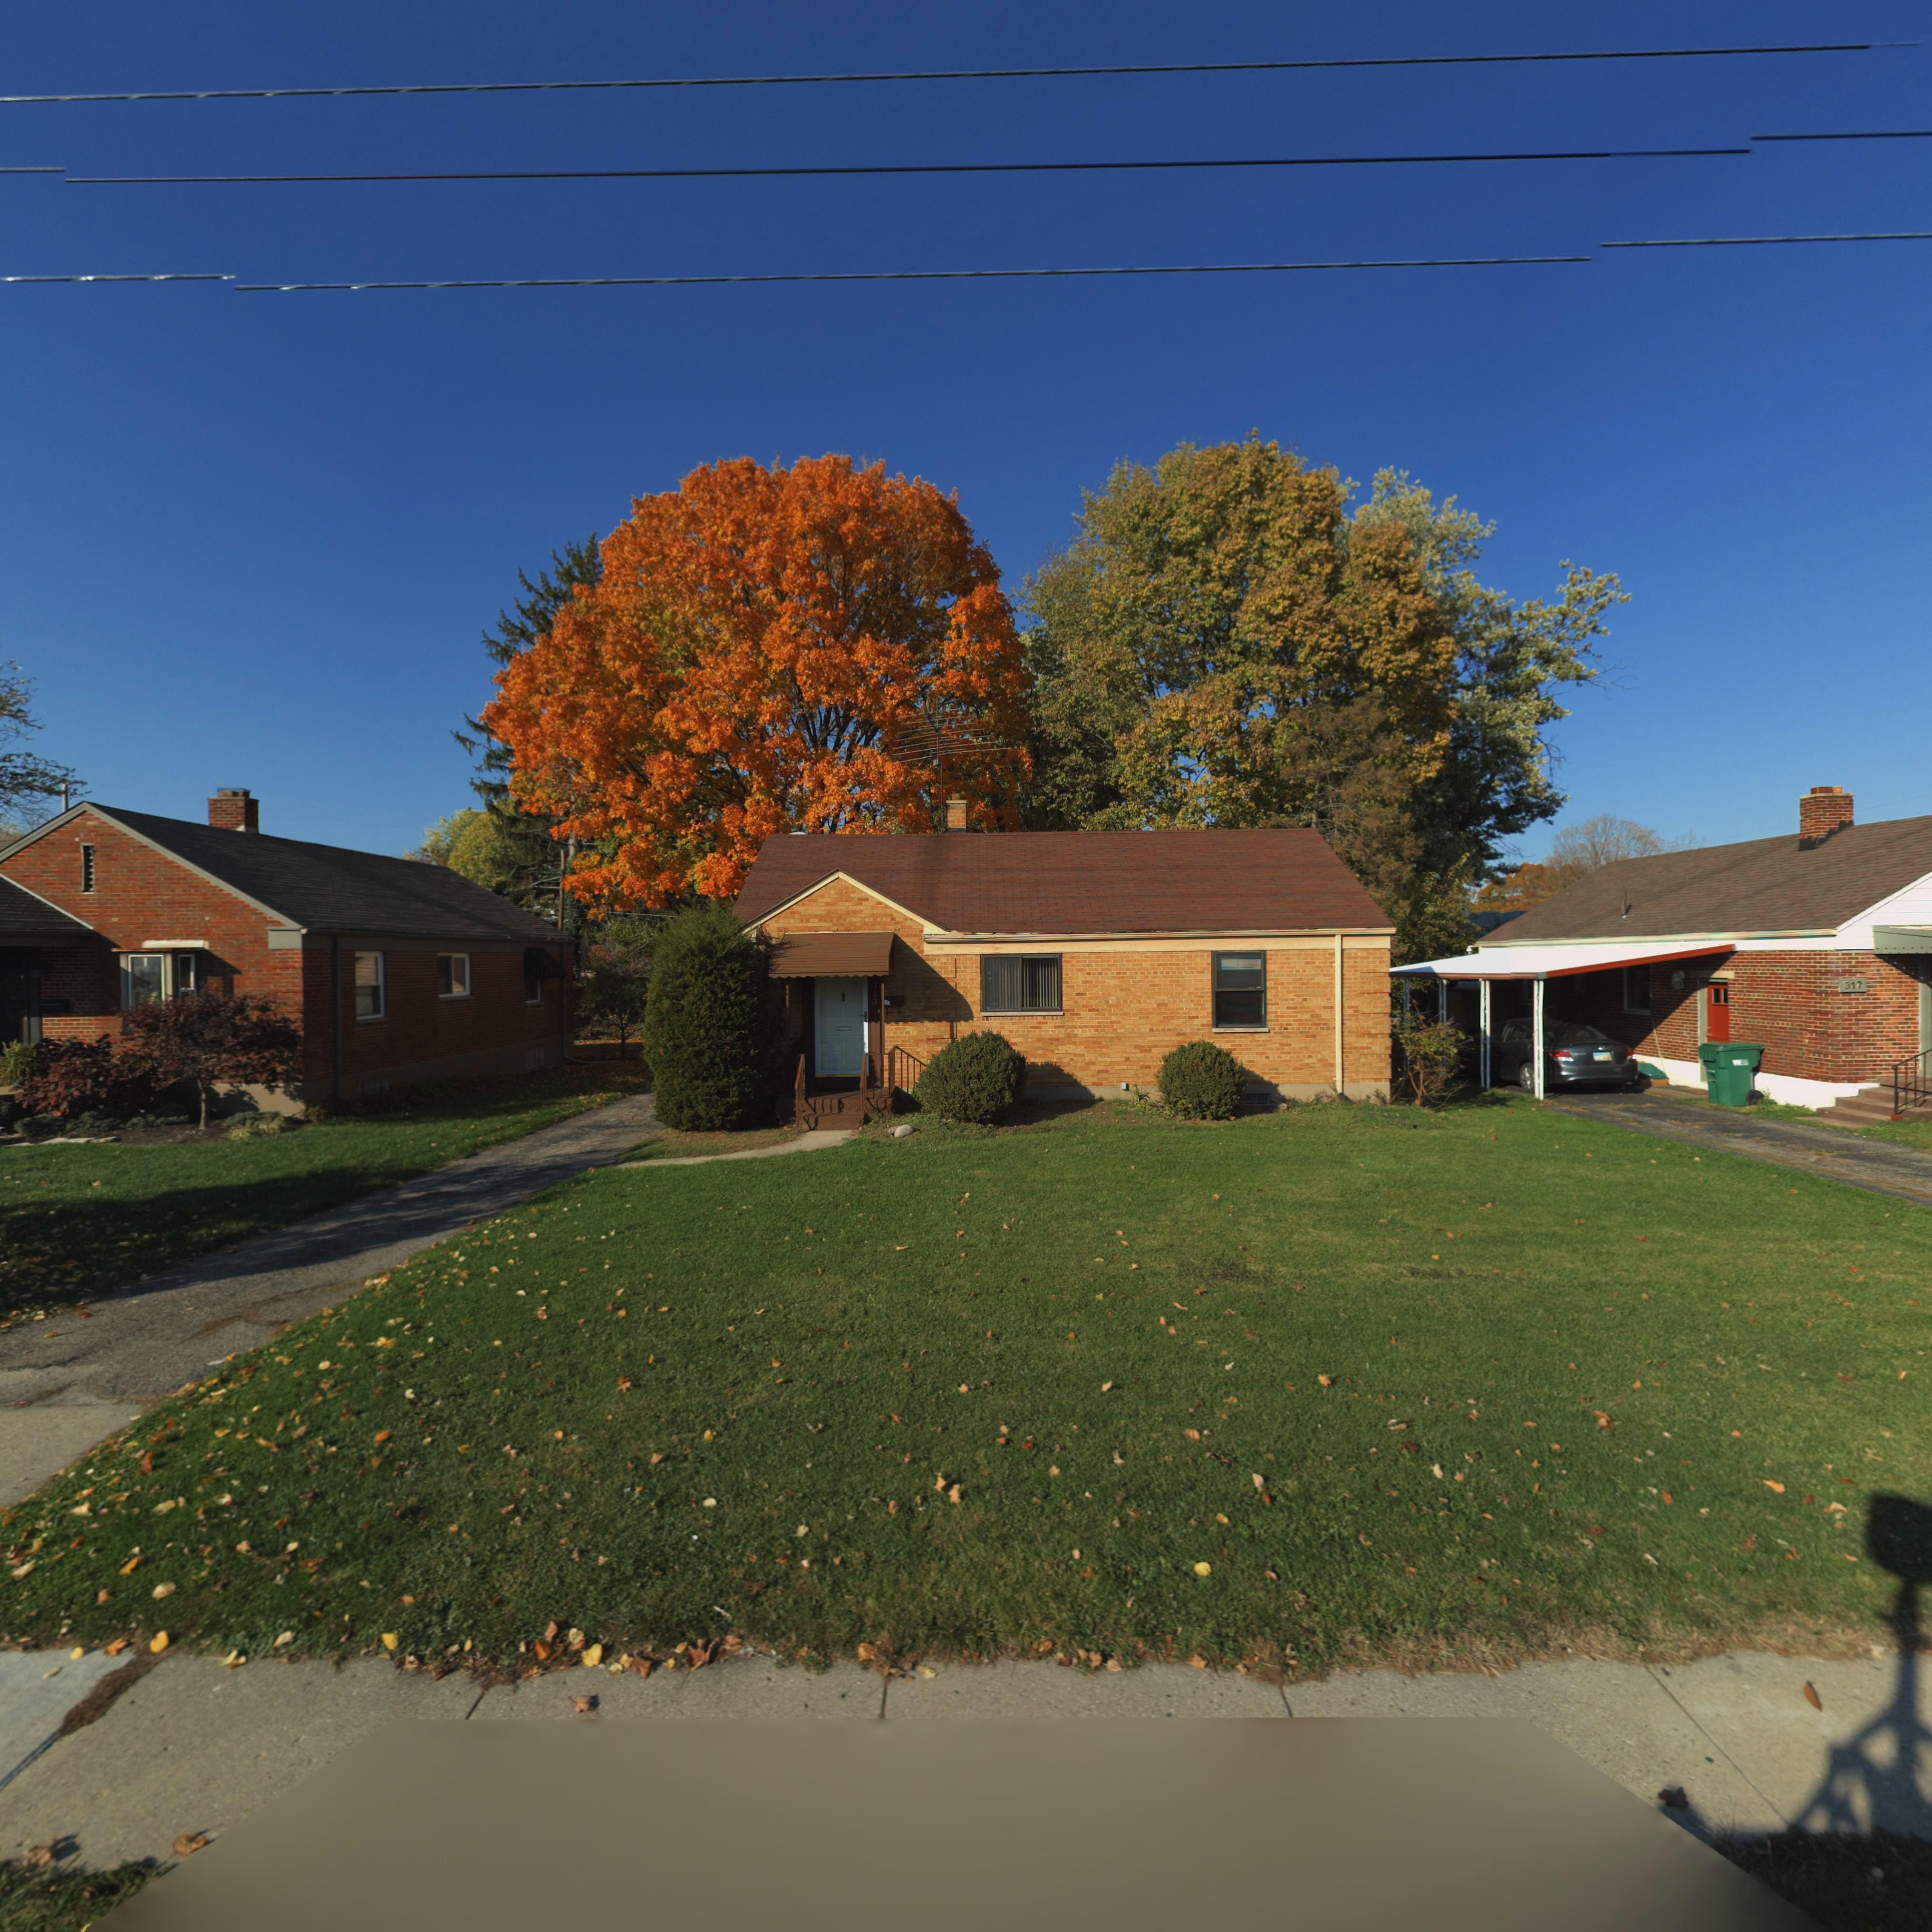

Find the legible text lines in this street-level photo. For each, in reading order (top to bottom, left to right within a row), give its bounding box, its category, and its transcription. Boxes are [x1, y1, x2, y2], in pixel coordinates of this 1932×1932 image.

[871, 981, 879, 1007] StreetNumber: 313
[1843, 979, 1864, 991] StreetNumber: 317